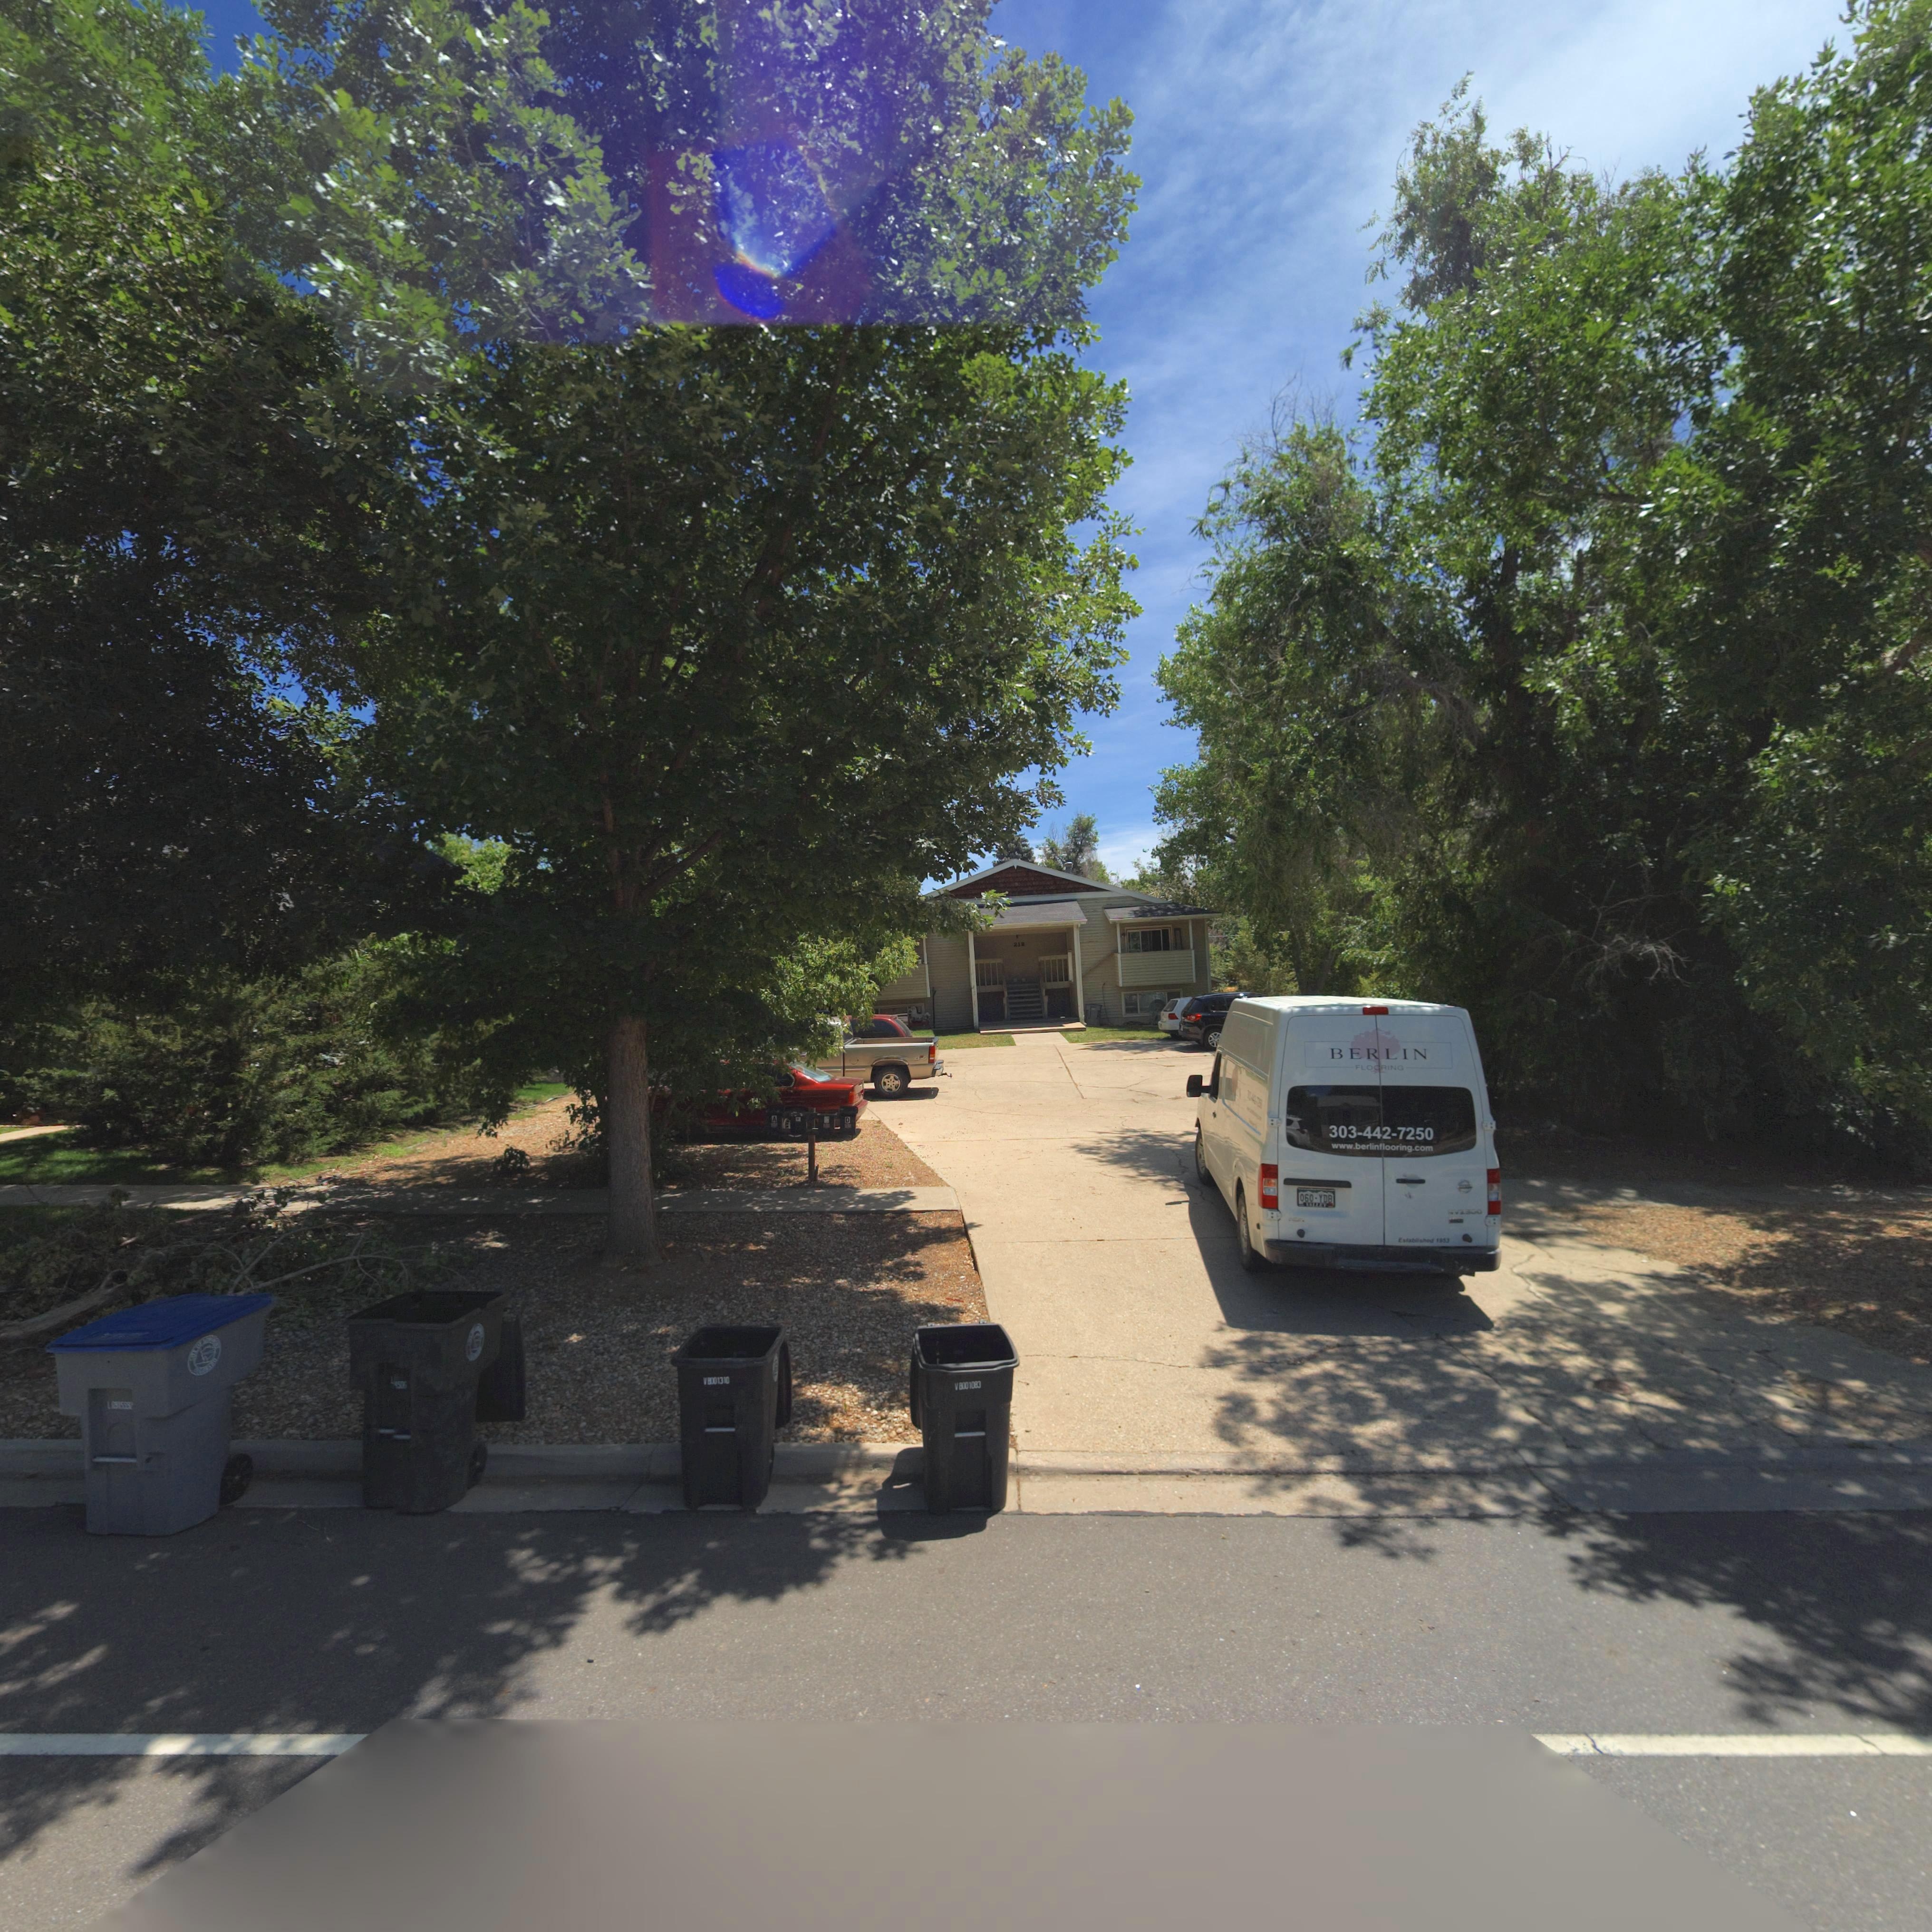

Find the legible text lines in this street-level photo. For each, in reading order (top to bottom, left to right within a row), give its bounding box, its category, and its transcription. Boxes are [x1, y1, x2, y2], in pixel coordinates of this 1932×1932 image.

[1013, 941, 1025, 947] StreetNumber: 212
[772, 1115, 776, 1121] StreetNumber: A
[845, 1117, 850, 1122] StreetNumber: D